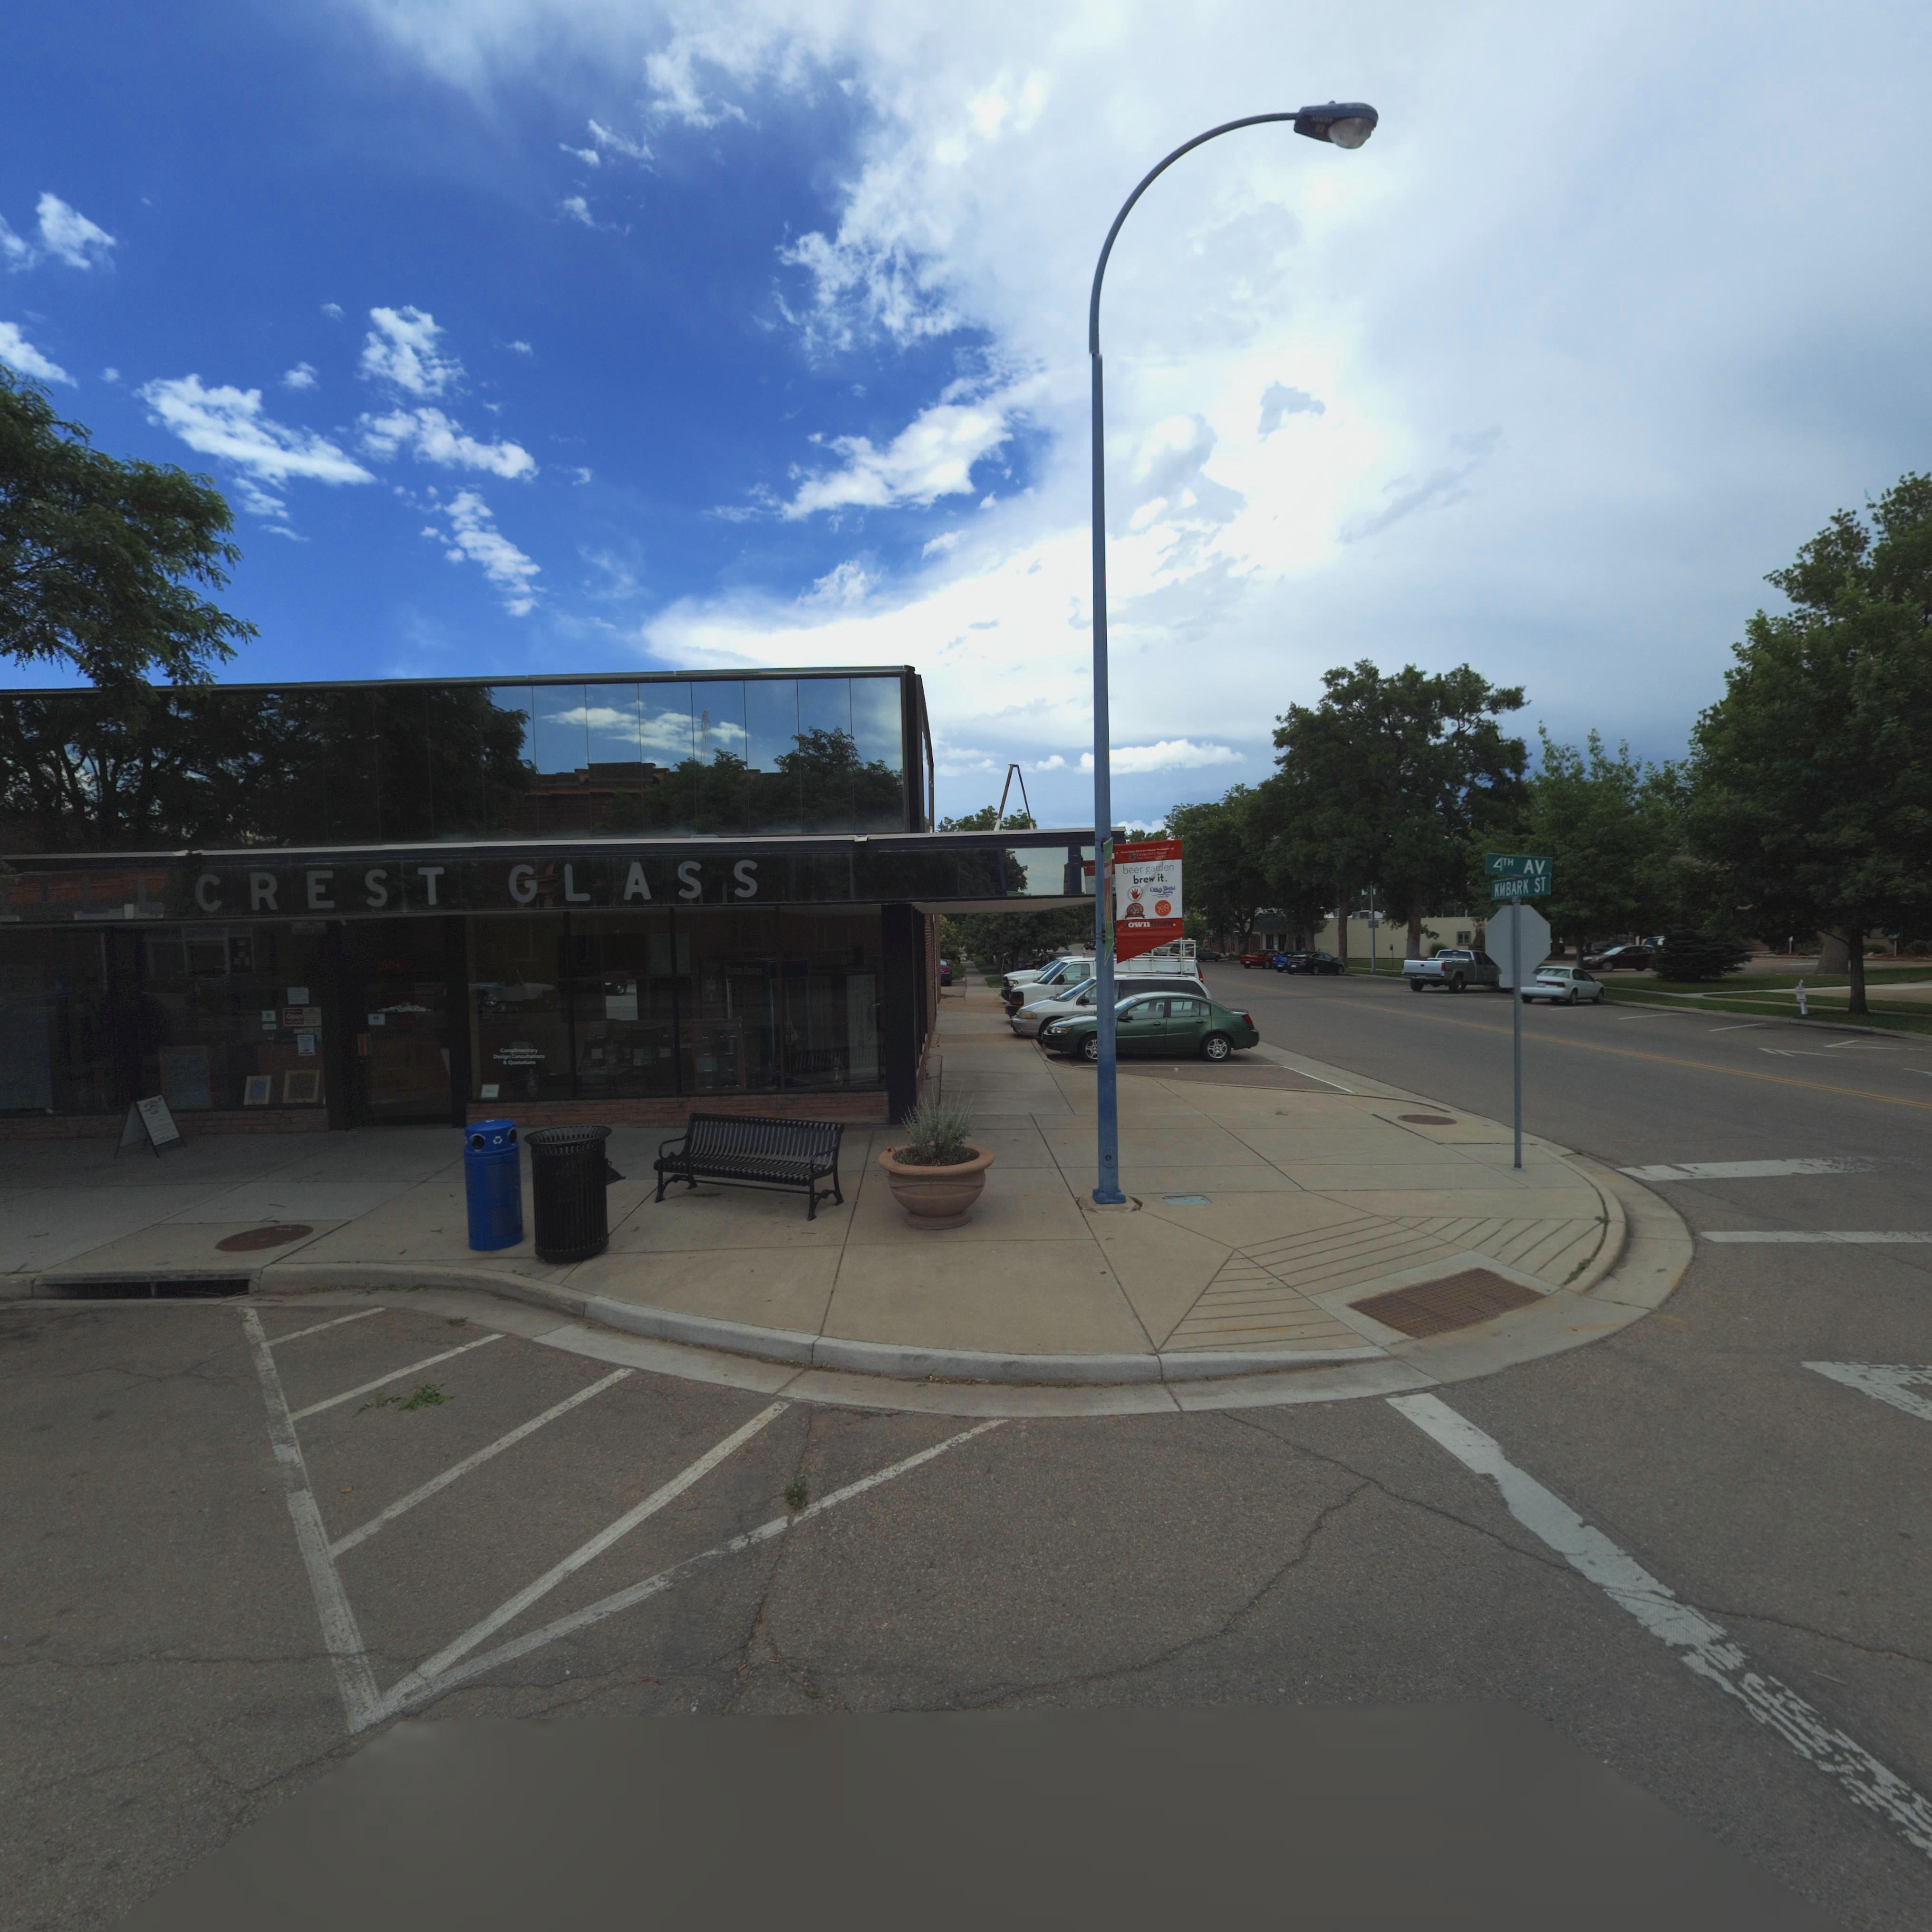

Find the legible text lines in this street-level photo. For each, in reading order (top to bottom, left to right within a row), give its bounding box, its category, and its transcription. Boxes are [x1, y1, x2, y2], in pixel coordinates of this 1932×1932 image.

[1492, 857, 1546, 875] StreetName: 4TH AV
[38, 858, 759, 919] BusinessName: ILLCREST GLASS
[1495, 876, 1546, 897] StreetName: KMBARK ST
[381, 961, 402, 969] StreetNumber: 604